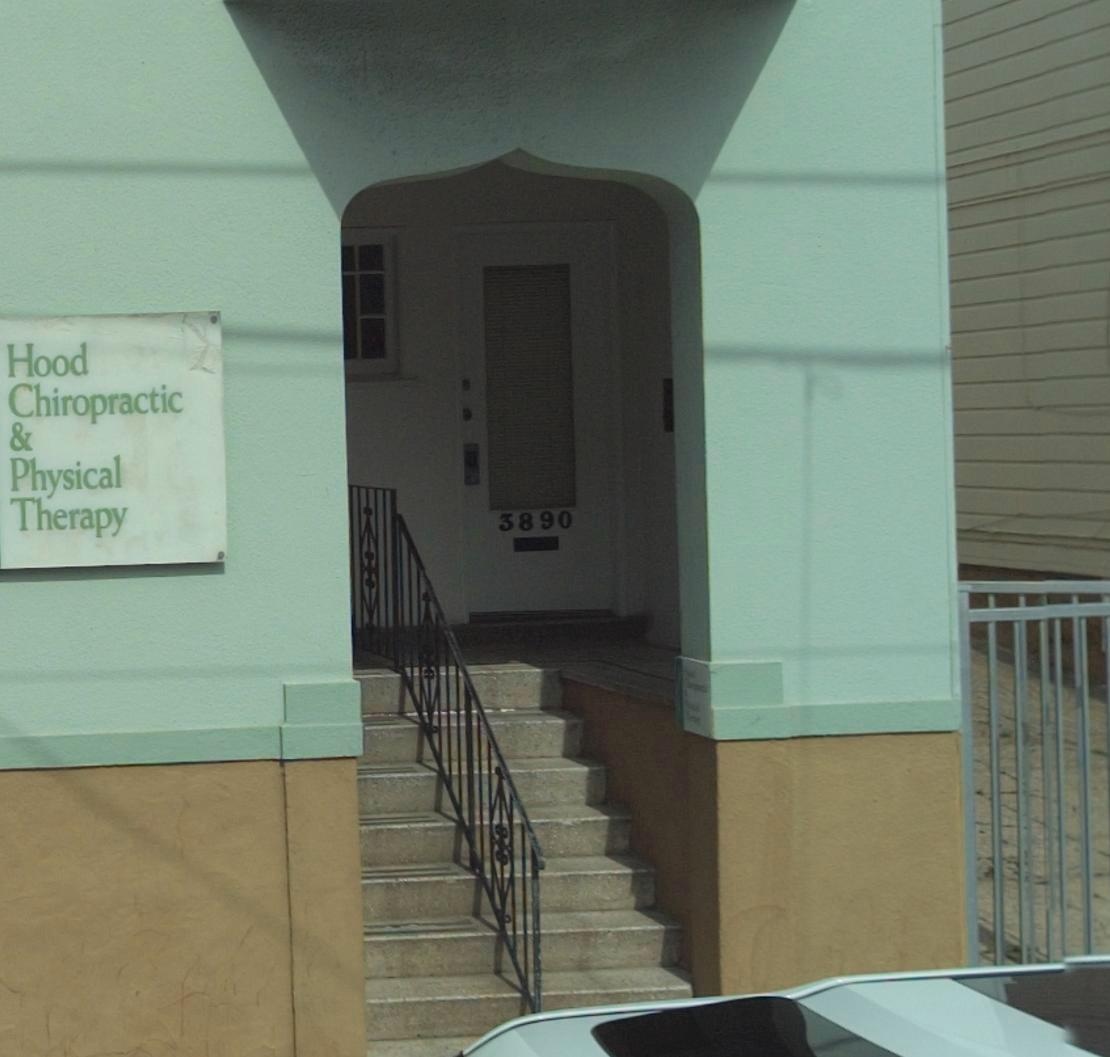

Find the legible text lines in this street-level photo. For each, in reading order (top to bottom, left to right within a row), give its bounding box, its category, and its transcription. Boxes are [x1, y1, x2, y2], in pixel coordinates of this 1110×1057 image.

[4, 338, 91, 381] BusinessName: Hood
[5, 380, 186, 428] BusinessName: Chiropractic
[8, 419, 35, 455] BusinessName: &
[7, 452, 125, 500] BusinessName: Physical
[8, 495, 130, 540] BusinessName: Therapy
[497, 510, 575, 532] StreetNumber: 3890